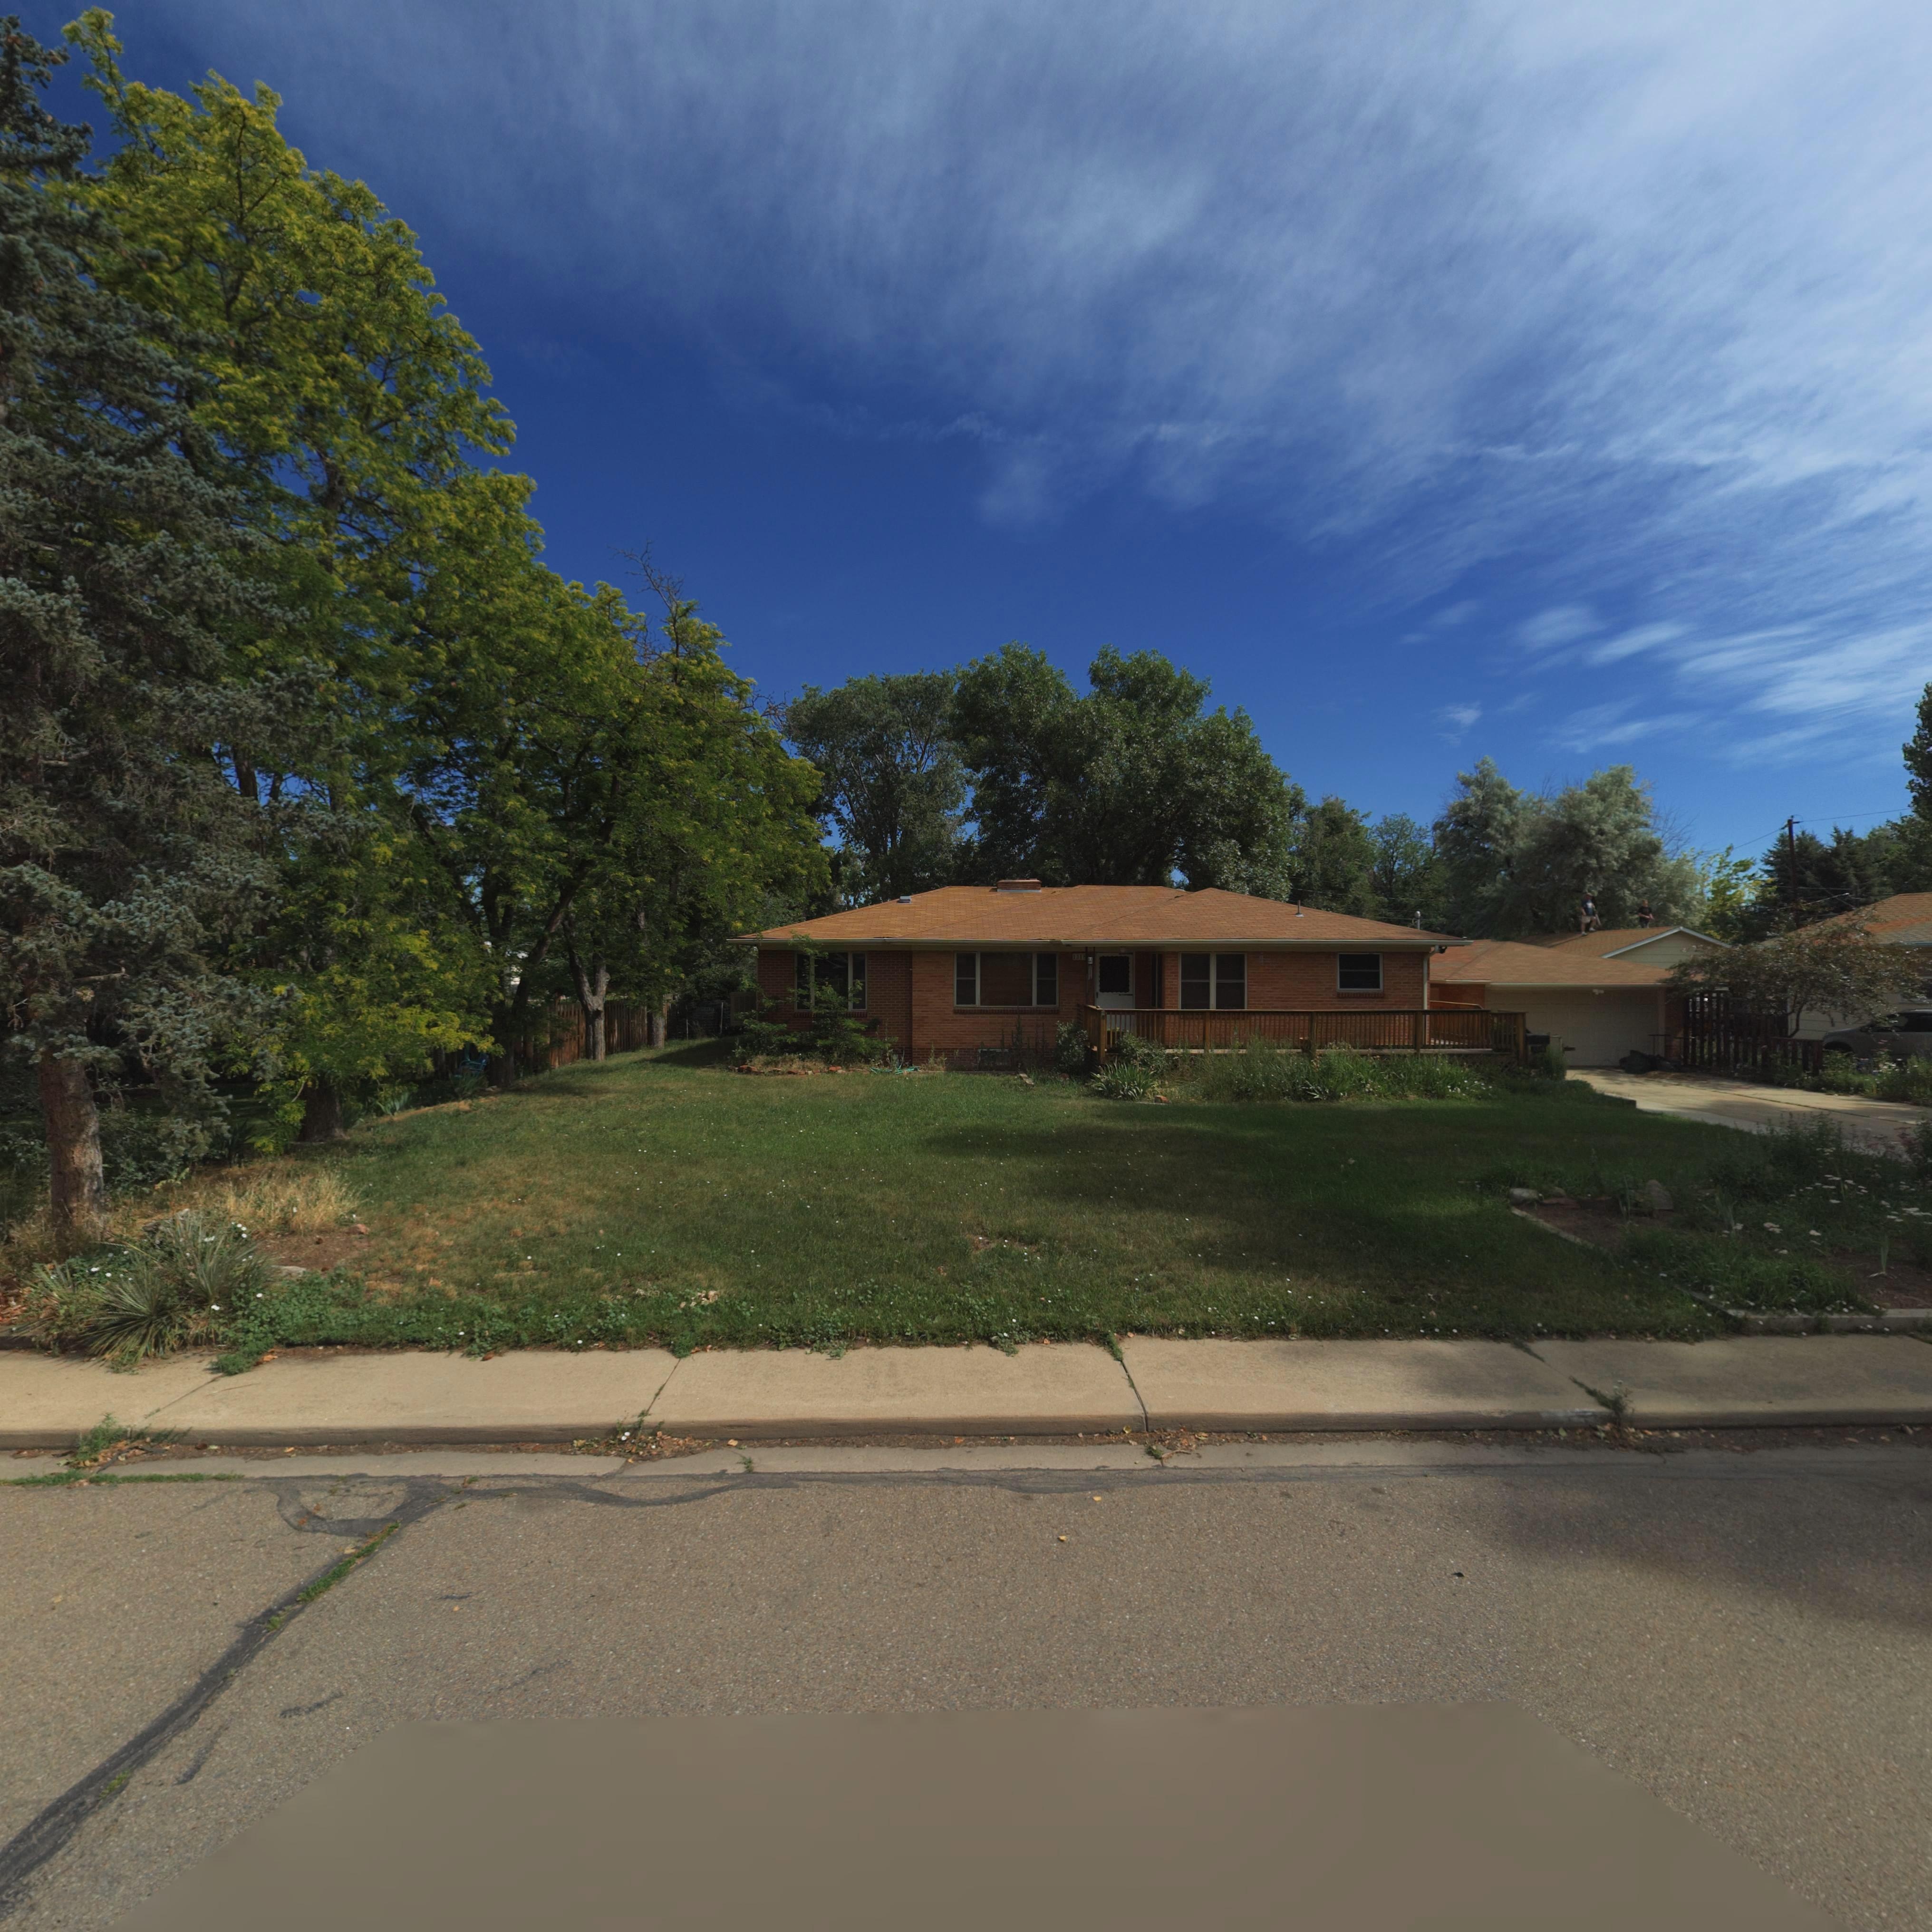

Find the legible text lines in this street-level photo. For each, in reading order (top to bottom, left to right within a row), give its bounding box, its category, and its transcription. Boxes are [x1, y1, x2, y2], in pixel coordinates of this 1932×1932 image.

[1072, 954, 1086, 960] StreetNumber: 1318